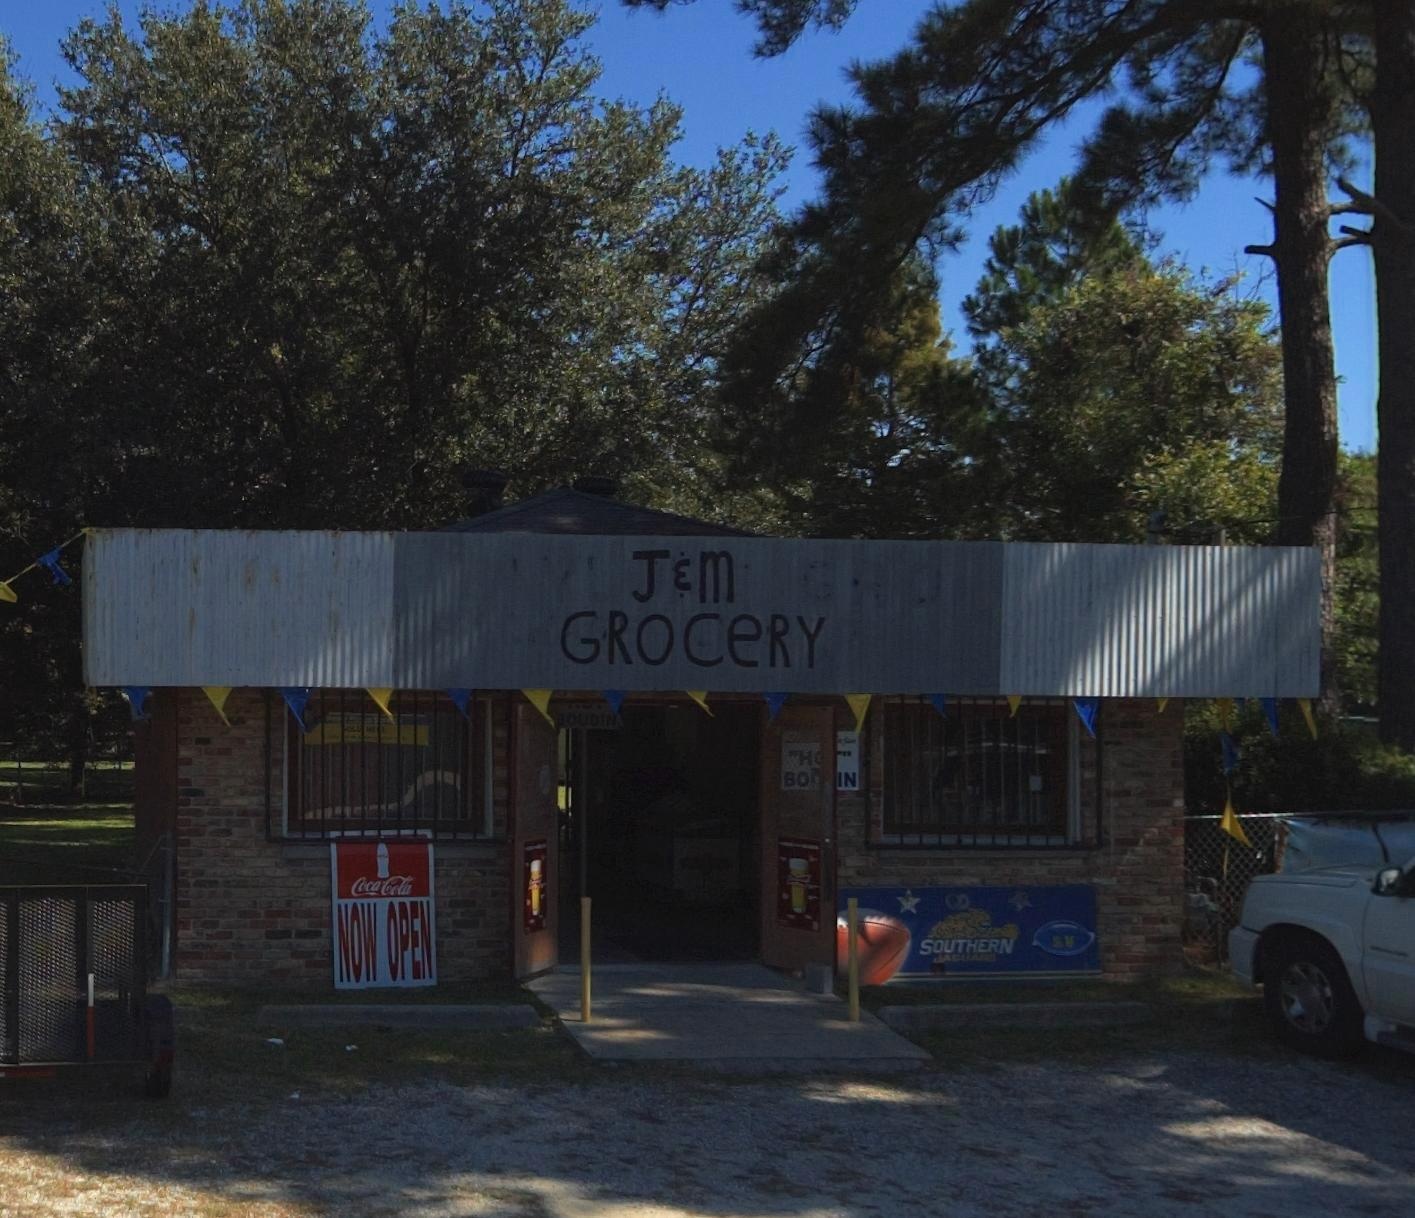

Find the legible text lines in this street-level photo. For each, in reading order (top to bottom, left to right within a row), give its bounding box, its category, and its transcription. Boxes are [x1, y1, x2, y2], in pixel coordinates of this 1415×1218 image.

[630, 546, 736, 606] BusinessName: J&M
[559, 608, 828, 671] BusinessName: GROCERY
[565, 711, 618, 727] None: OUDIN
[798, 747, 813, 767] None: H
[782, 771, 859, 789] None: BO IN
[349, 874, 414, 898] None: Coca-Cola
[336, 899, 433, 984] None: NOW OPEN
[918, 938, 1016, 956] None: SOUTHERN
[932, 953, 997, 963] None: JAGUARS